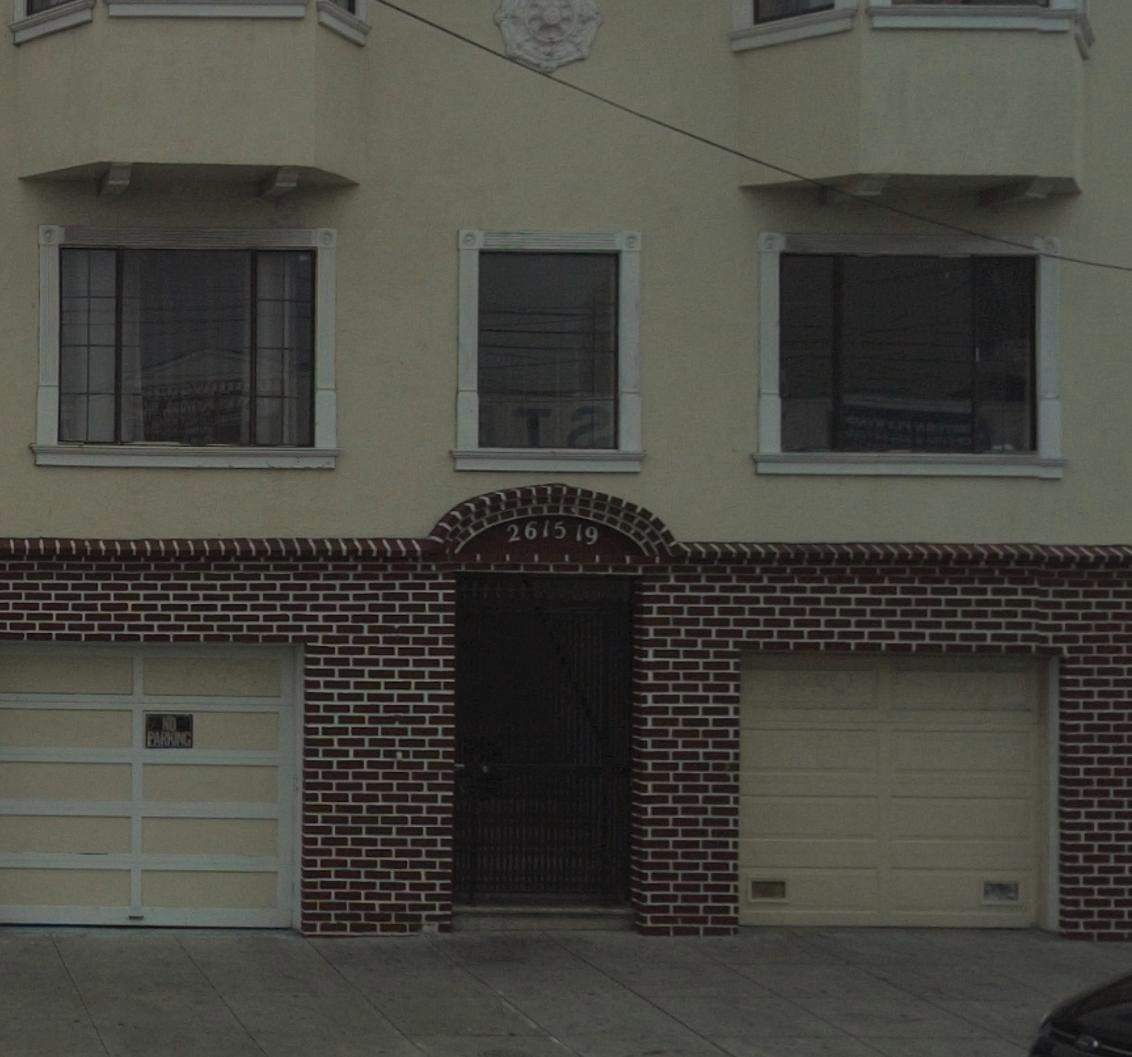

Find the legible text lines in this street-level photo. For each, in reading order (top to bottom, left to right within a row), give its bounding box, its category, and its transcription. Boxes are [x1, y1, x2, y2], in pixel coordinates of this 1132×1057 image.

[508, 405, 553, 449] None: T
[506, 519, 568, 544] StreetNumber: 2615
[573, 521, 600, 548] StreetNumber: 19
[161, 715, 177, 732] None: NO
[146, 730, 192, 748] None: PARKING